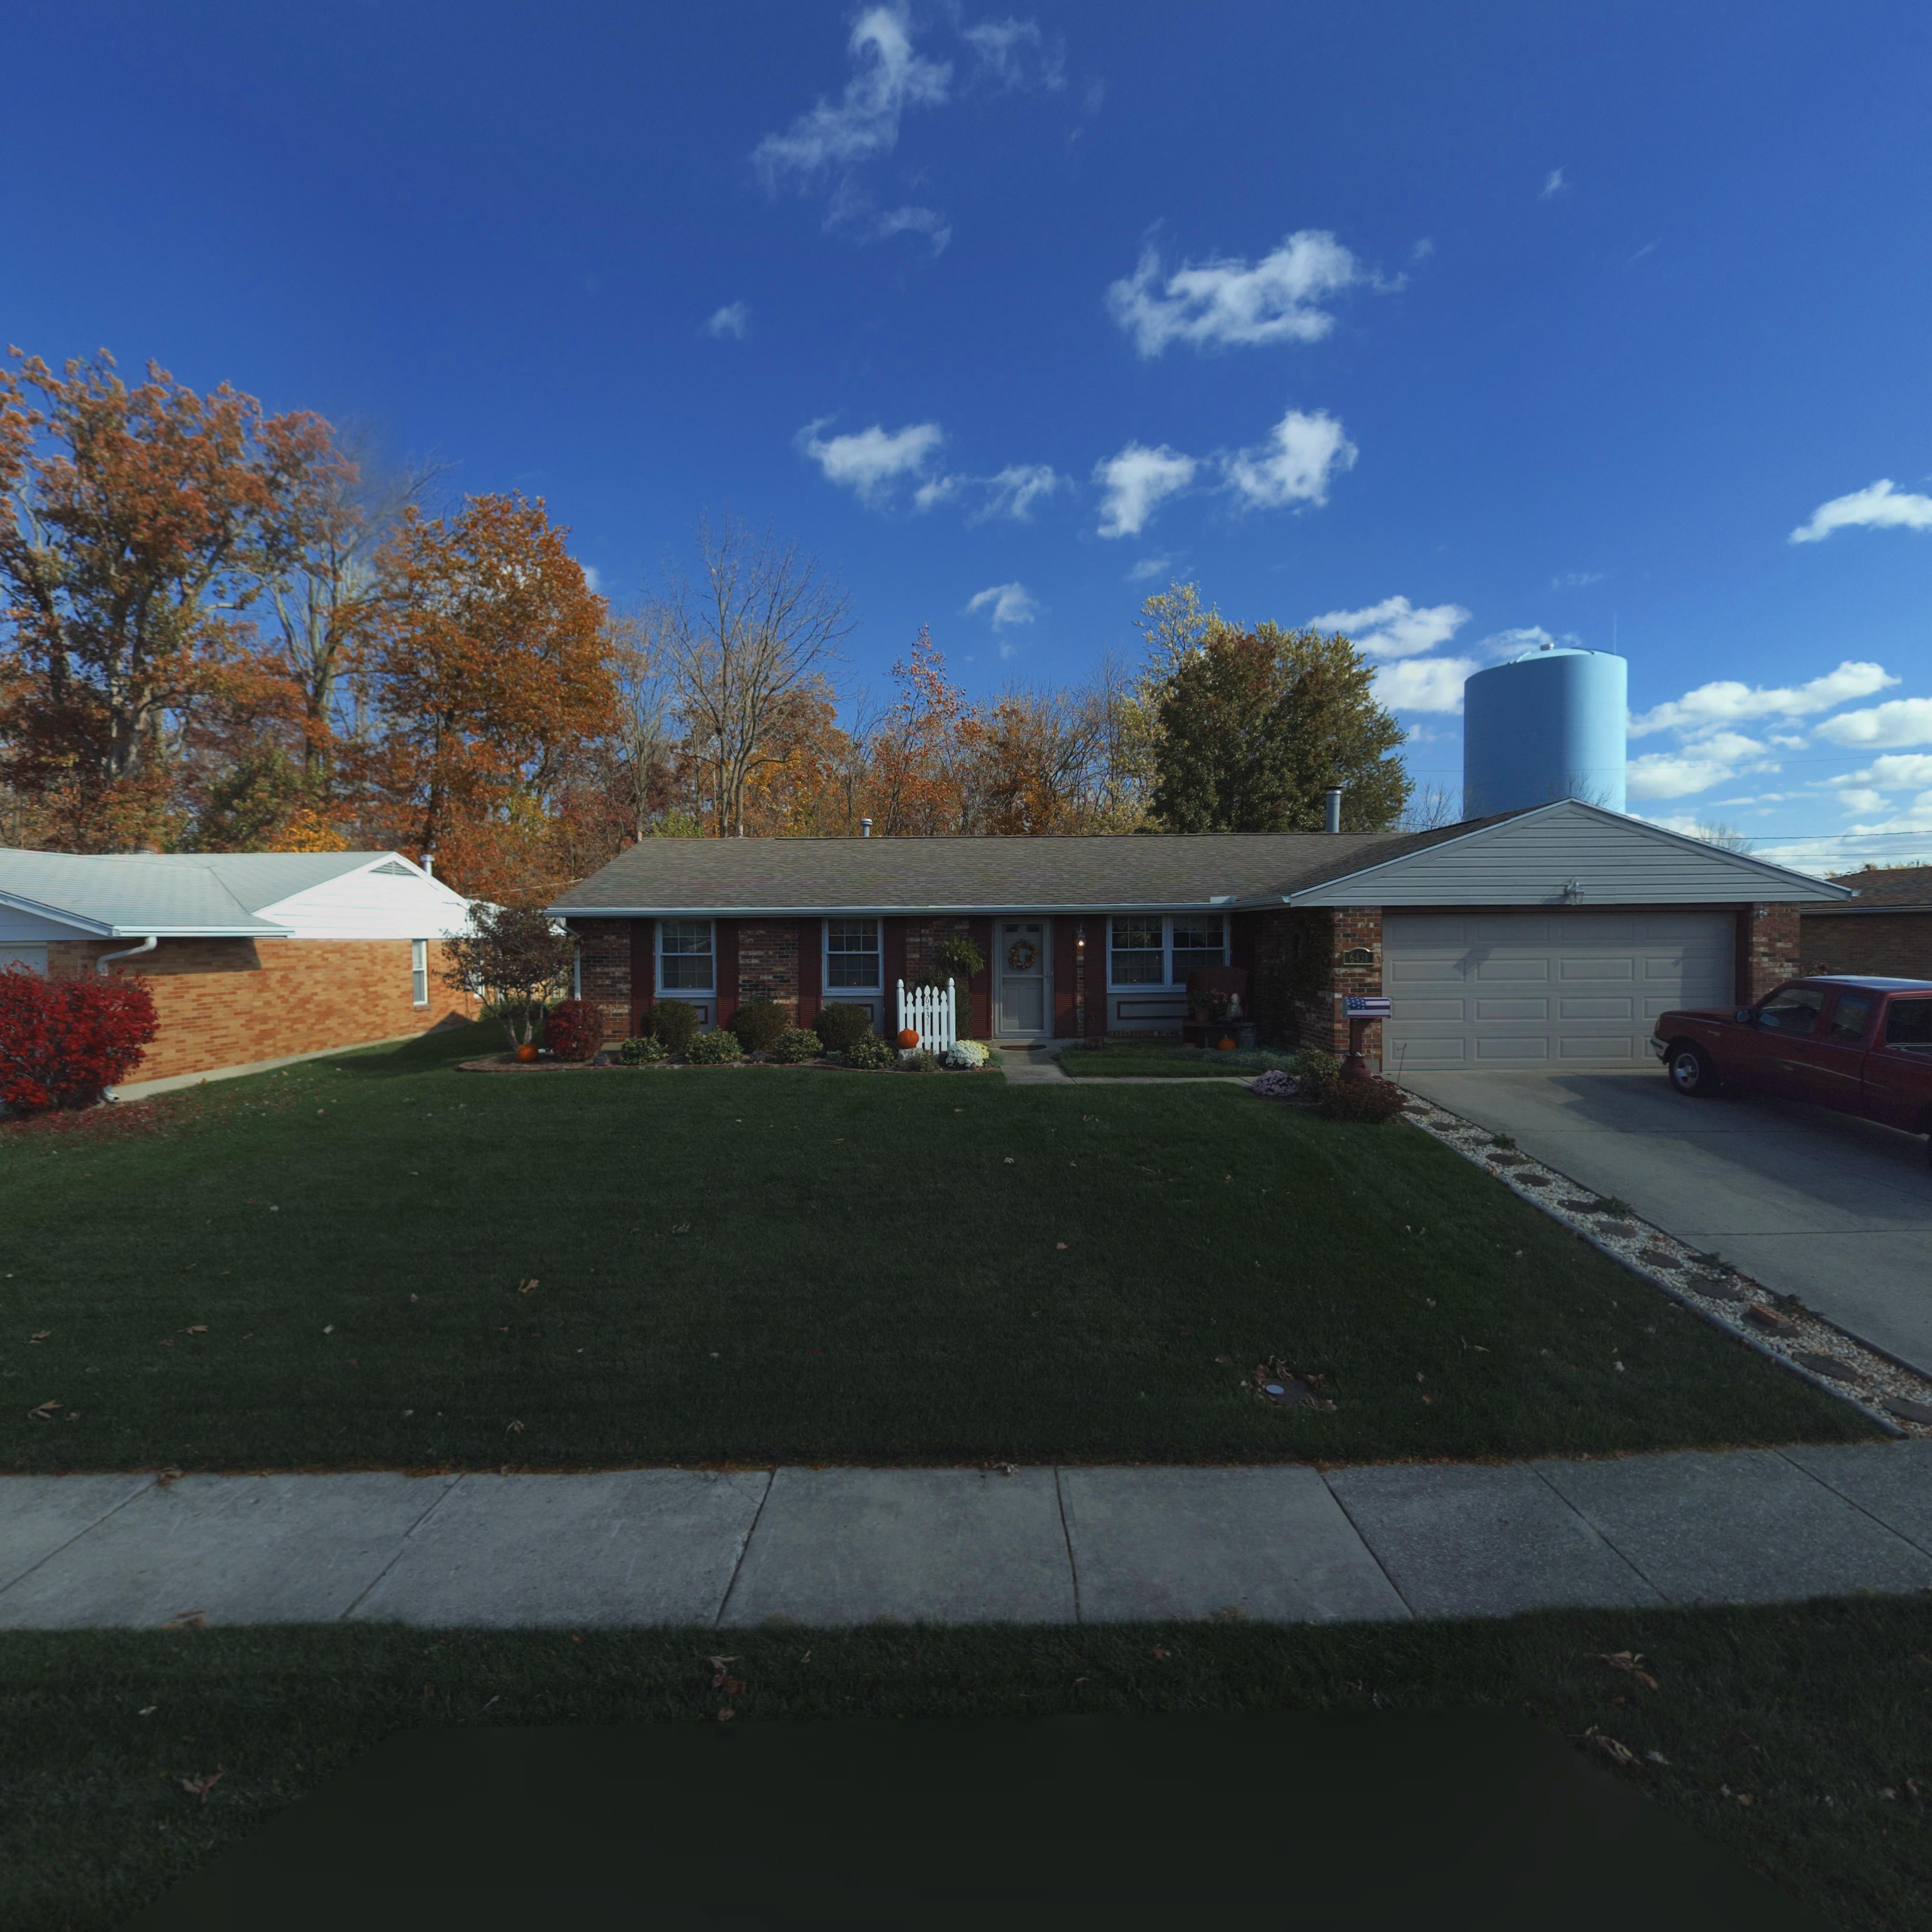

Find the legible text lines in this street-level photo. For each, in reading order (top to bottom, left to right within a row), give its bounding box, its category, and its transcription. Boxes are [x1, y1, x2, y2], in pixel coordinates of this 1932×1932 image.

[1349, 952, 1368, 963] StreetNumber: 6431
[925, 996, 930, 1026] StreetNumber: 6431